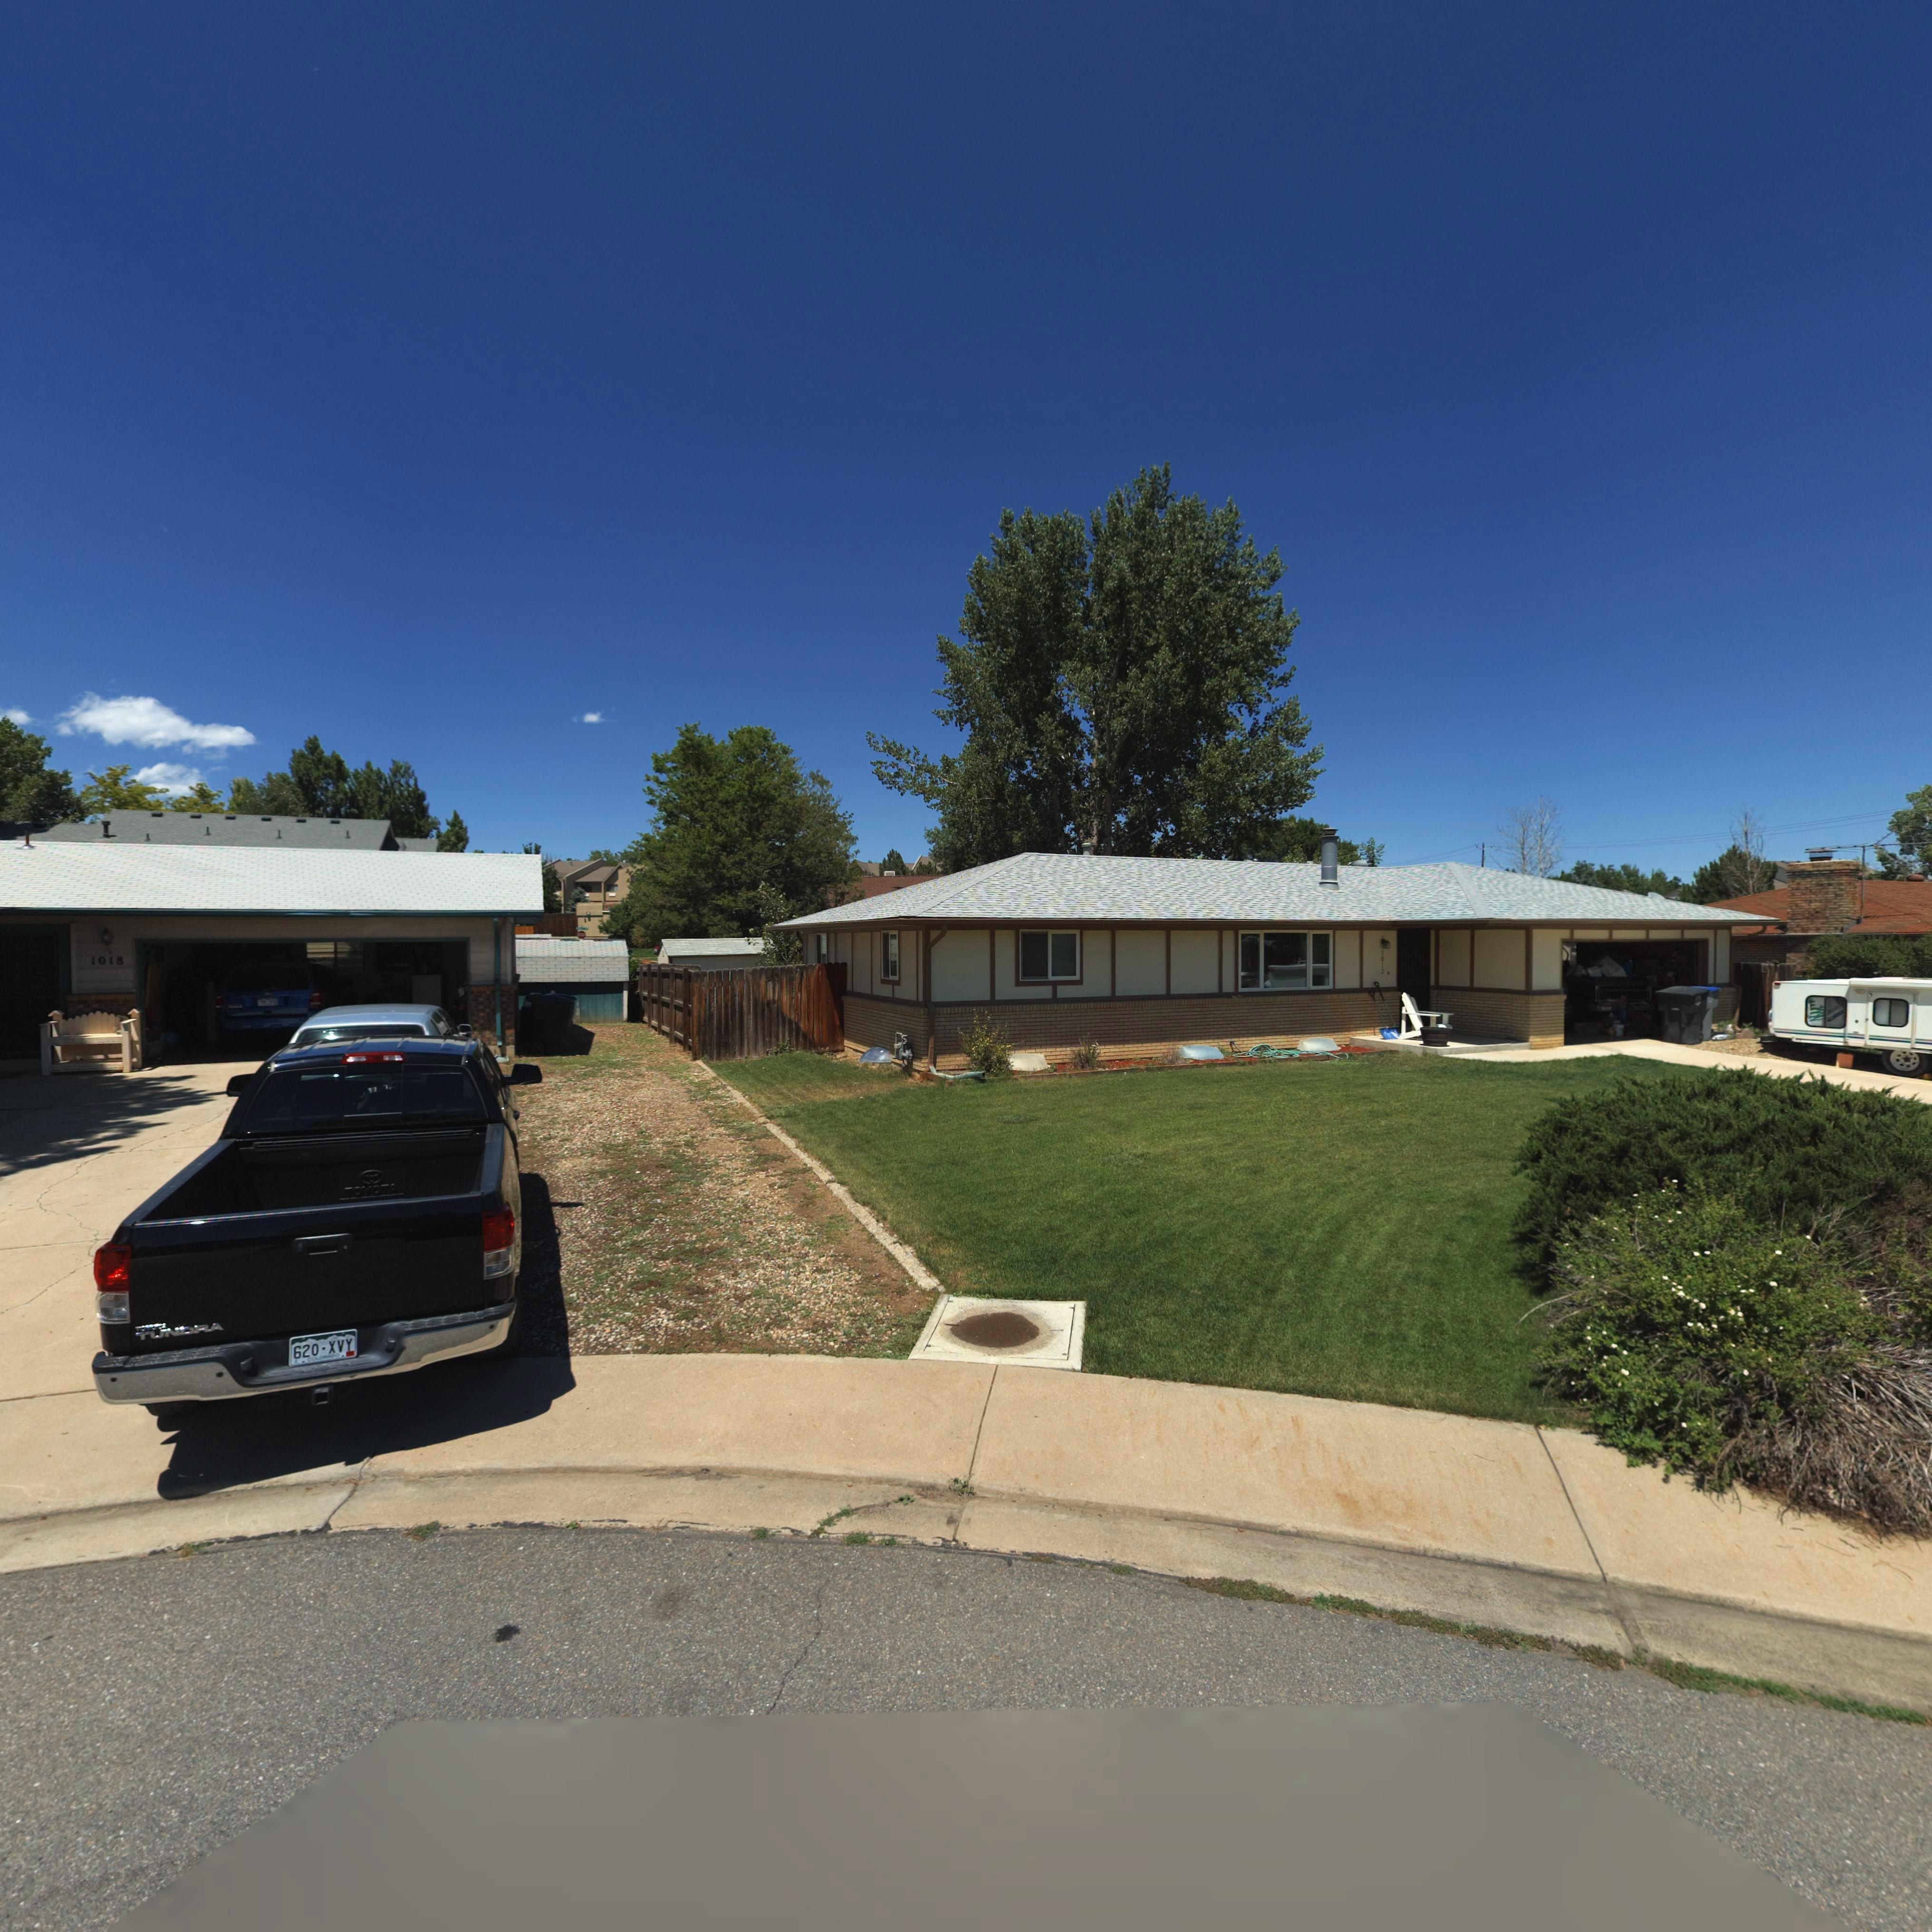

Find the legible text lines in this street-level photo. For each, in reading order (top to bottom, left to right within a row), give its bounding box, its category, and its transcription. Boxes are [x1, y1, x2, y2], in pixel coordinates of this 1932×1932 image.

[90, 955, 125, 966] StreetNumber: 1018
[1380, 949, 1384, 975] StreetNumber: 1012